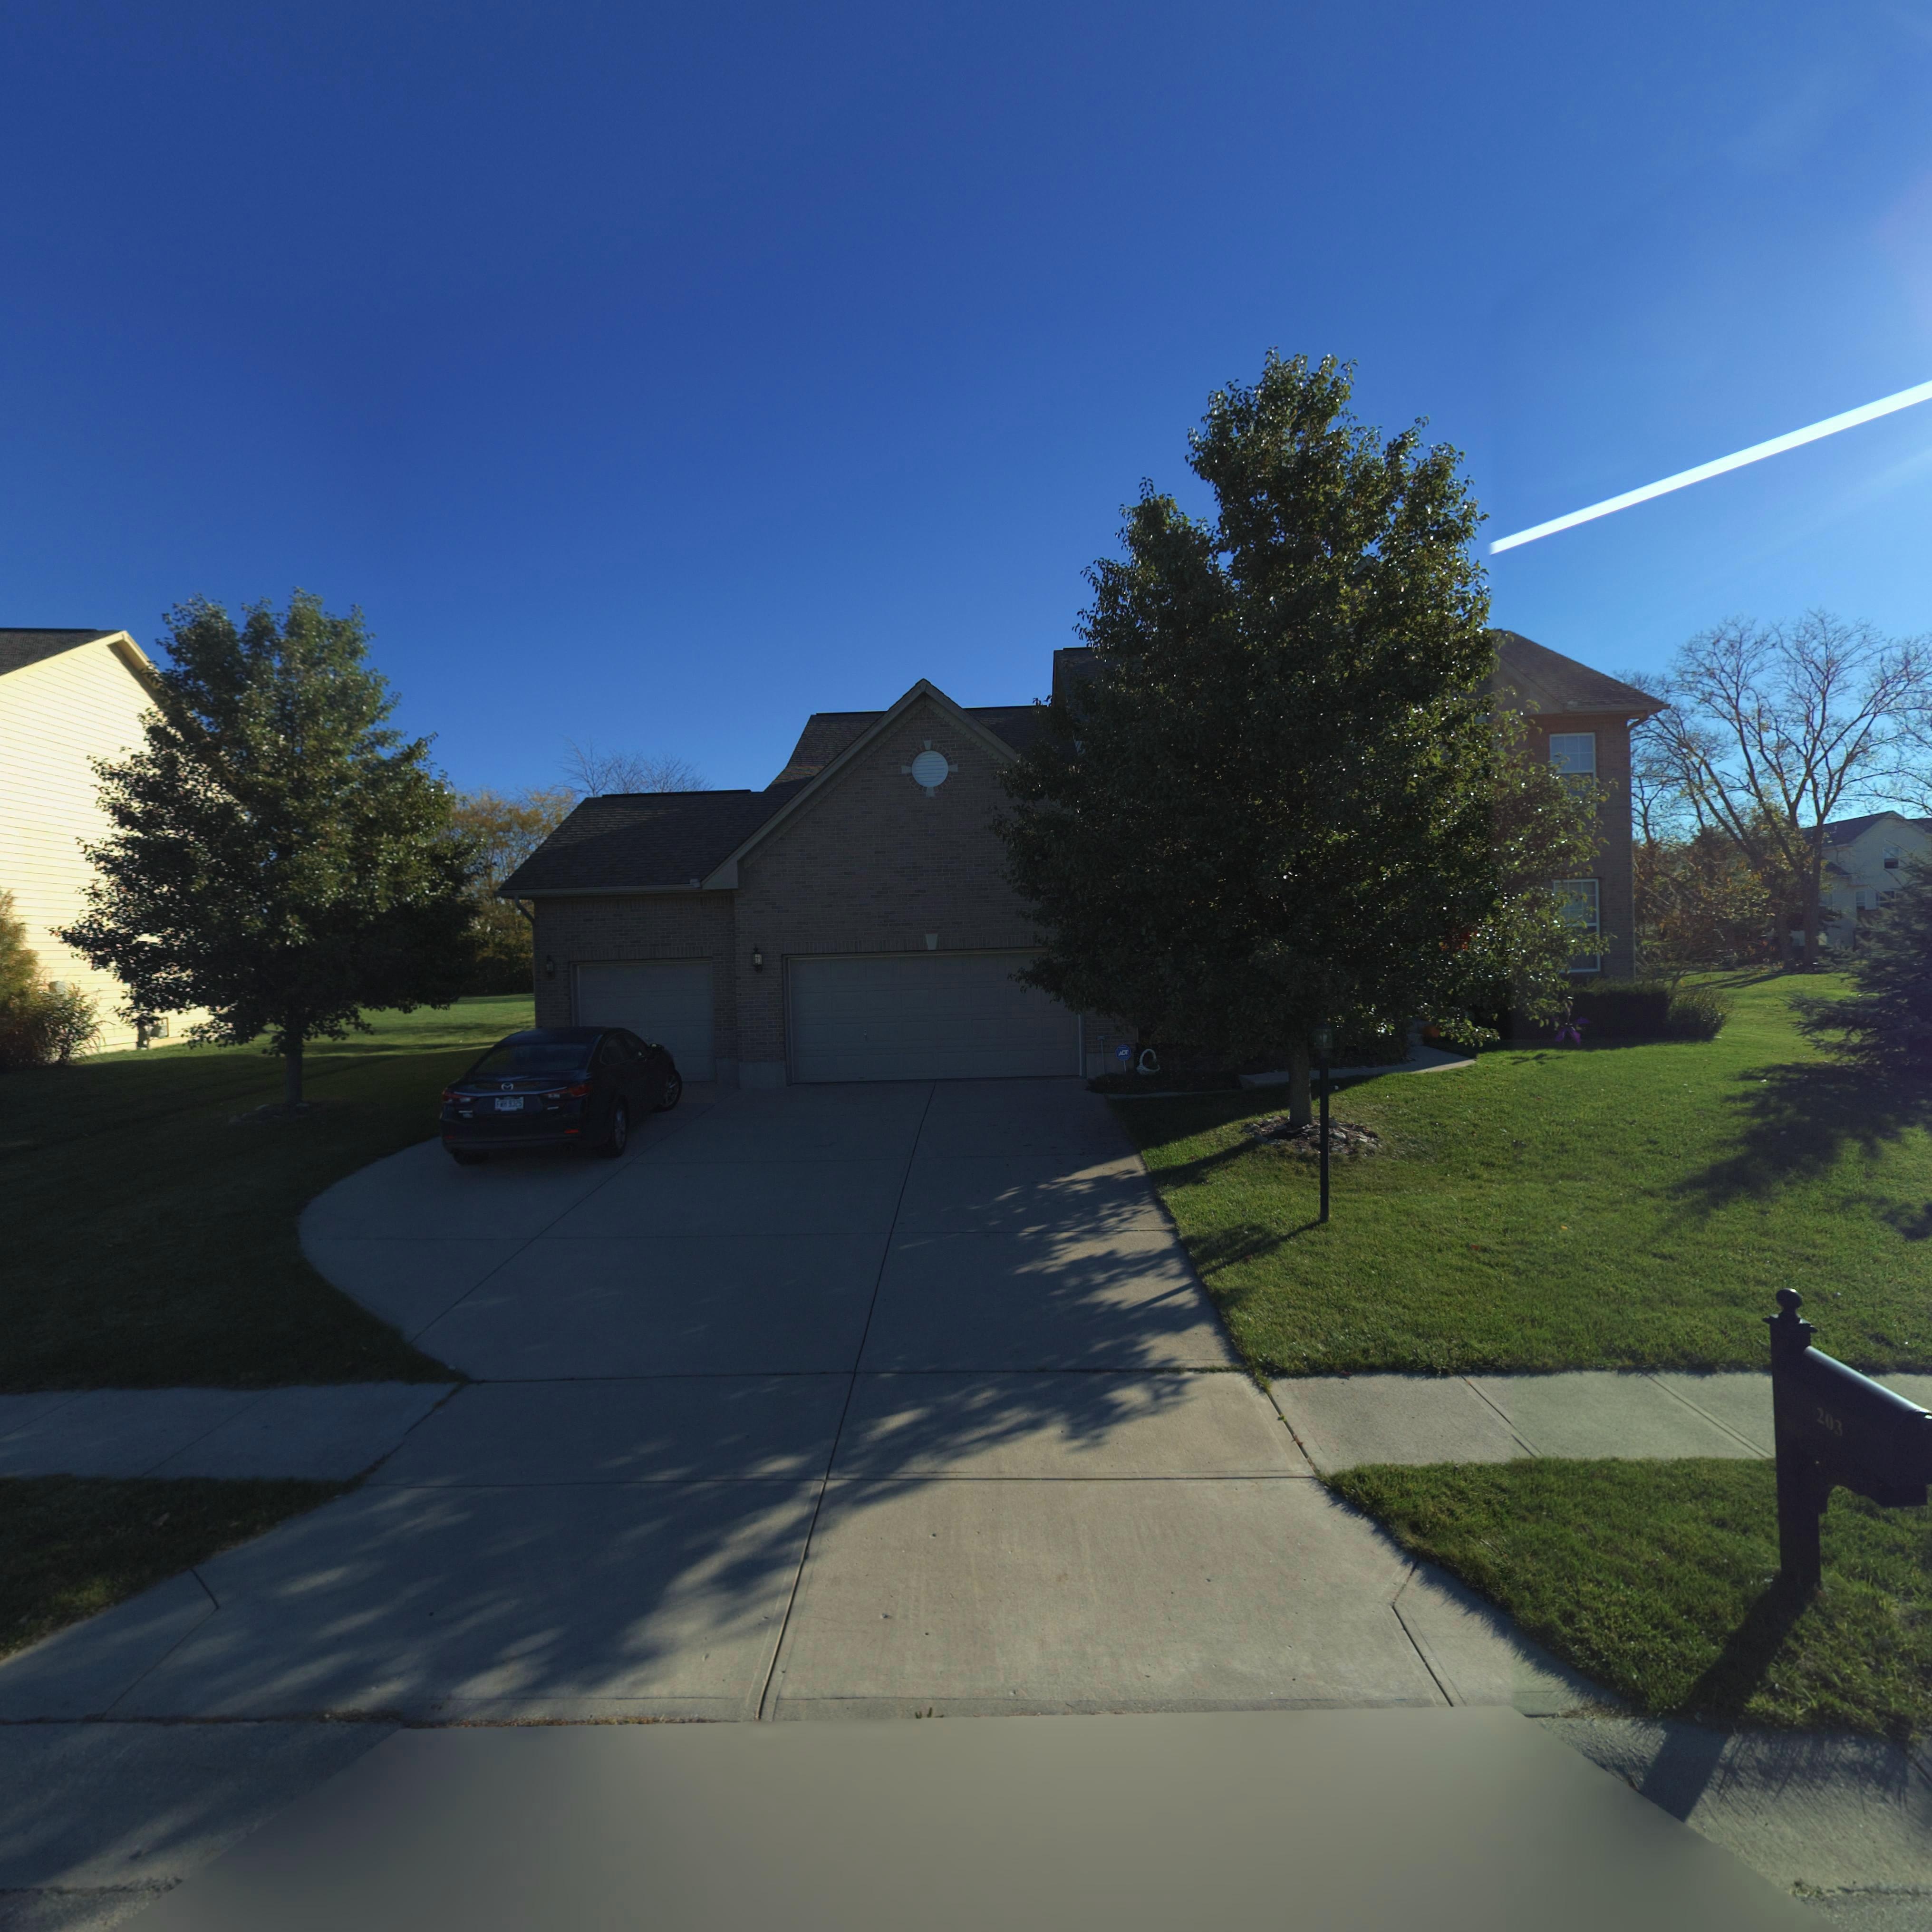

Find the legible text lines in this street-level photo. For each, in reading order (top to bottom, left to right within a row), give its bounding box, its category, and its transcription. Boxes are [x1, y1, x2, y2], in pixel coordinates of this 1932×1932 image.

[495, 1098, 522, 1108] None: F** 9325
[1814, 1404, 1845, 1440] StreetNumber: 203